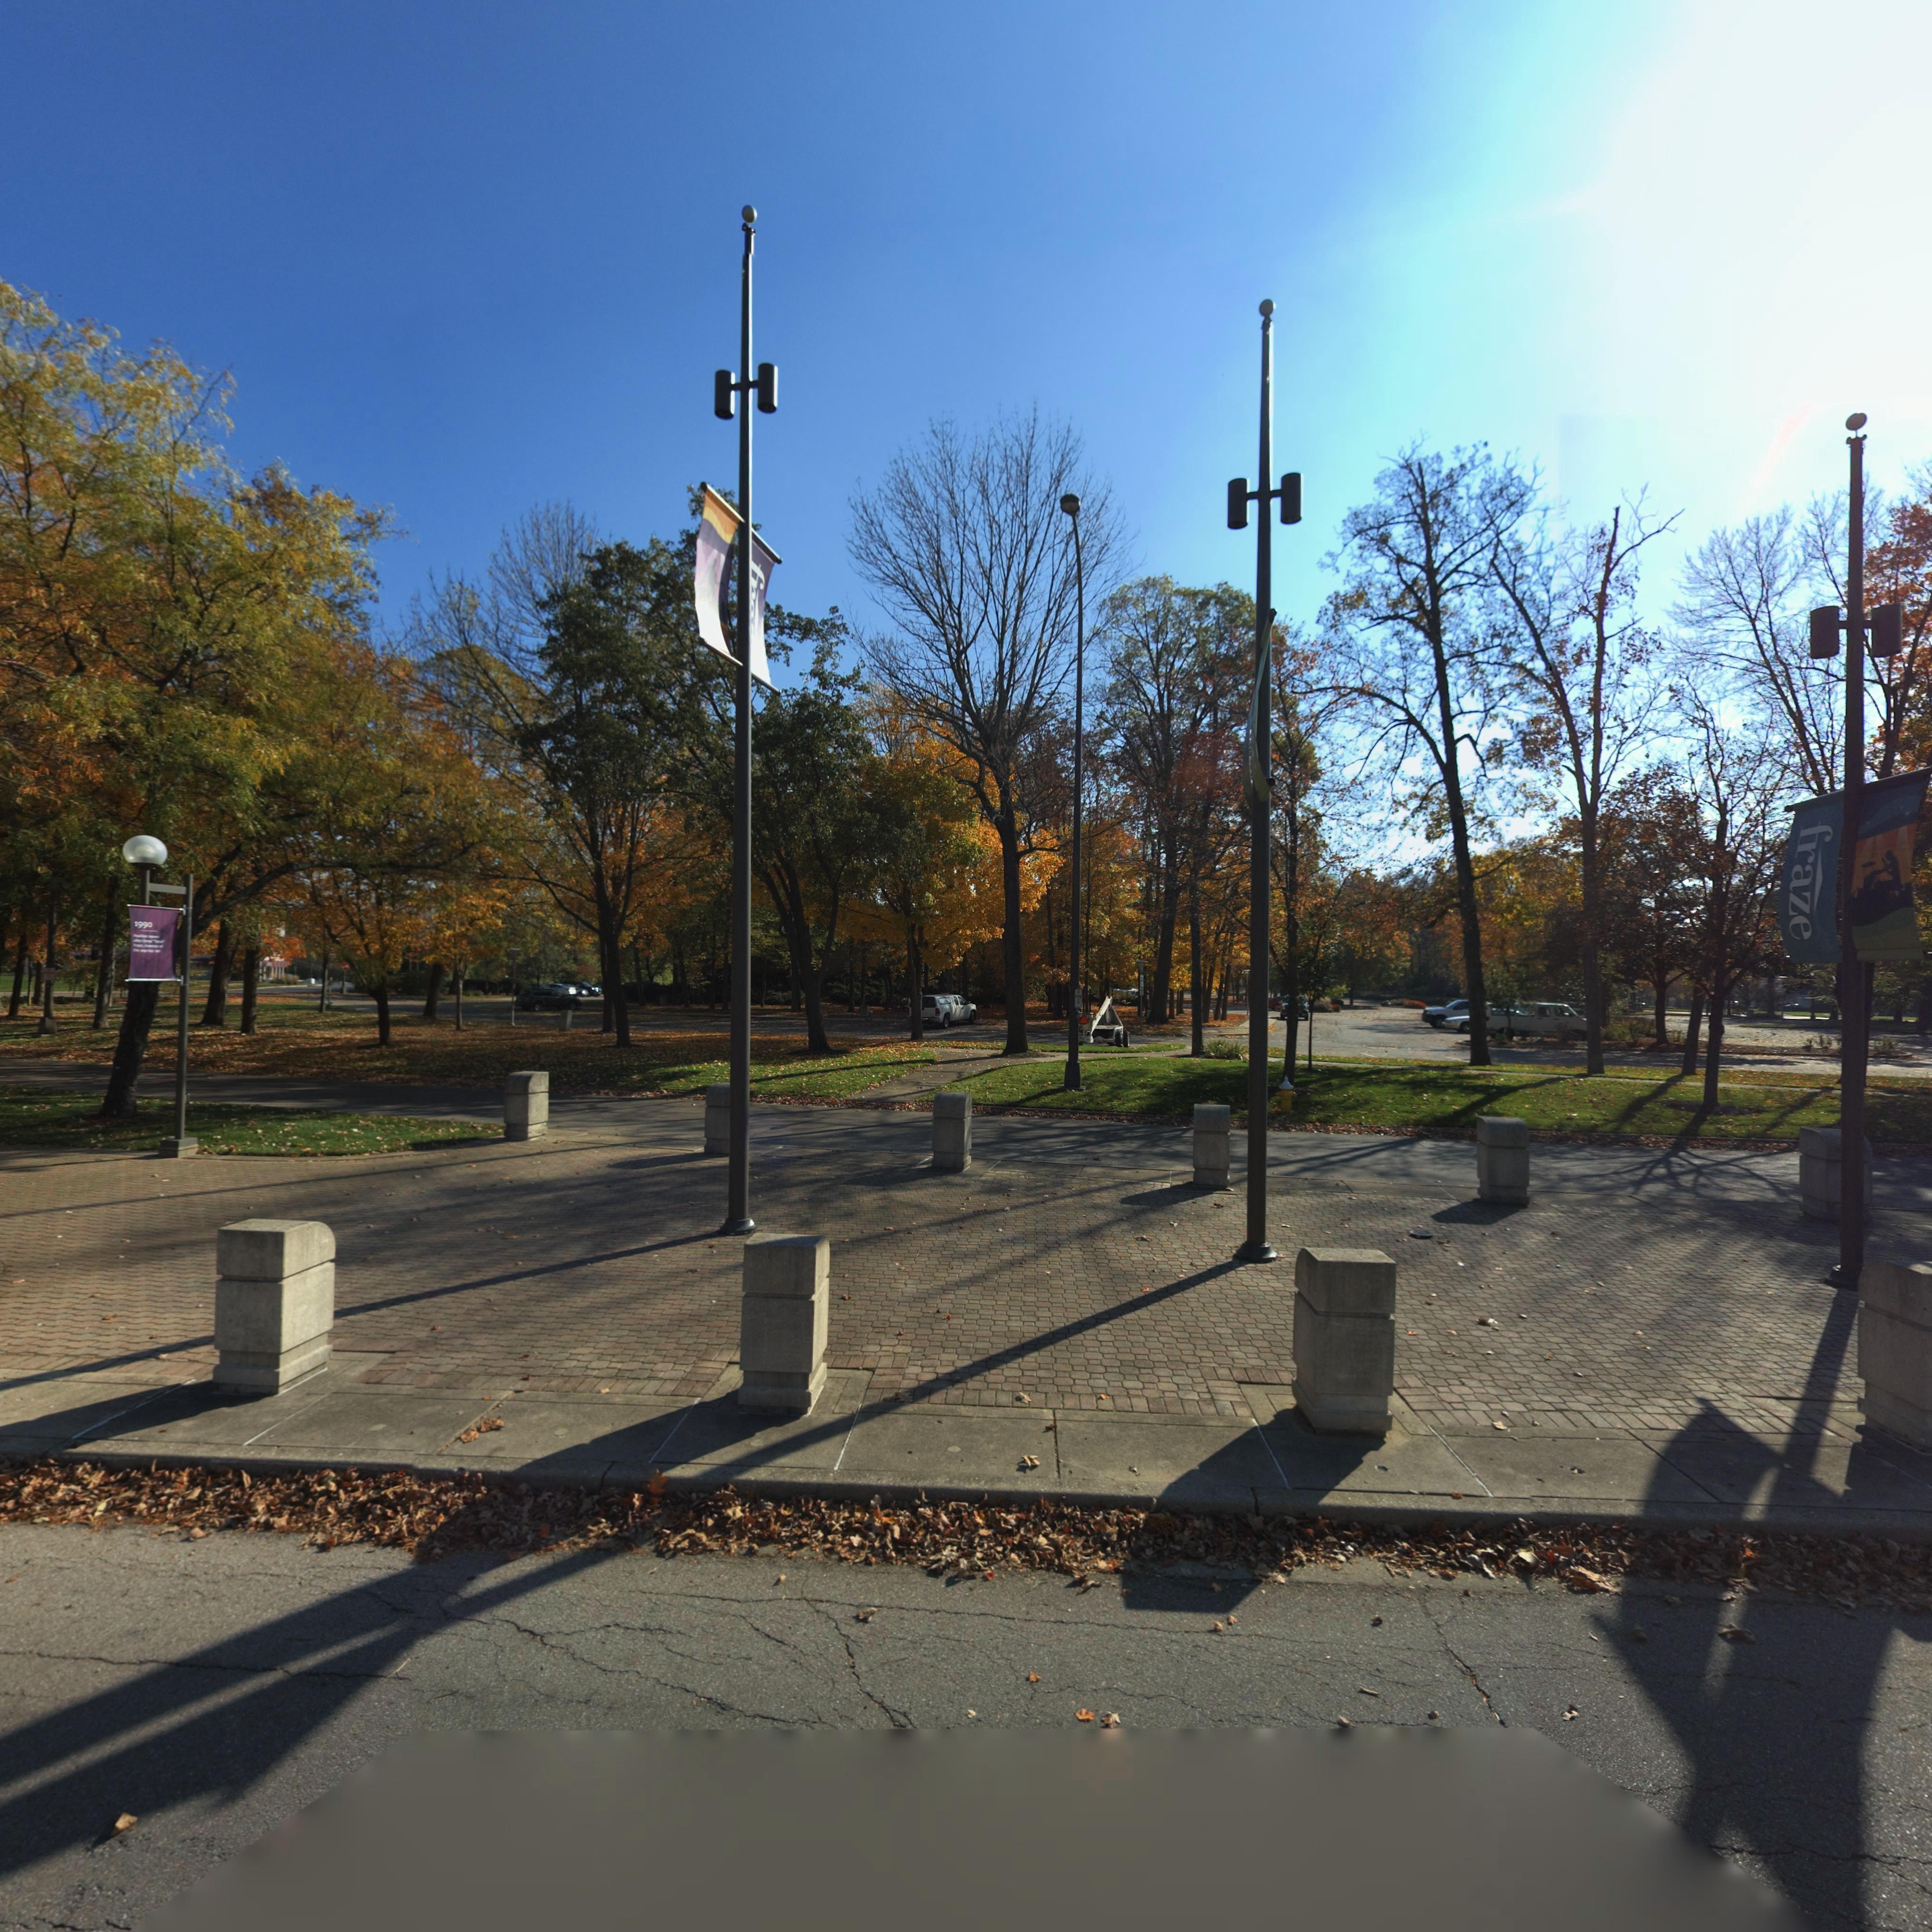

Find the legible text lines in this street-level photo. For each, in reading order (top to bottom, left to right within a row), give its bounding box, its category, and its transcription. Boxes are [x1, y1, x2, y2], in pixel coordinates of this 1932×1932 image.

[134, 920, 153, 930] None: 1990